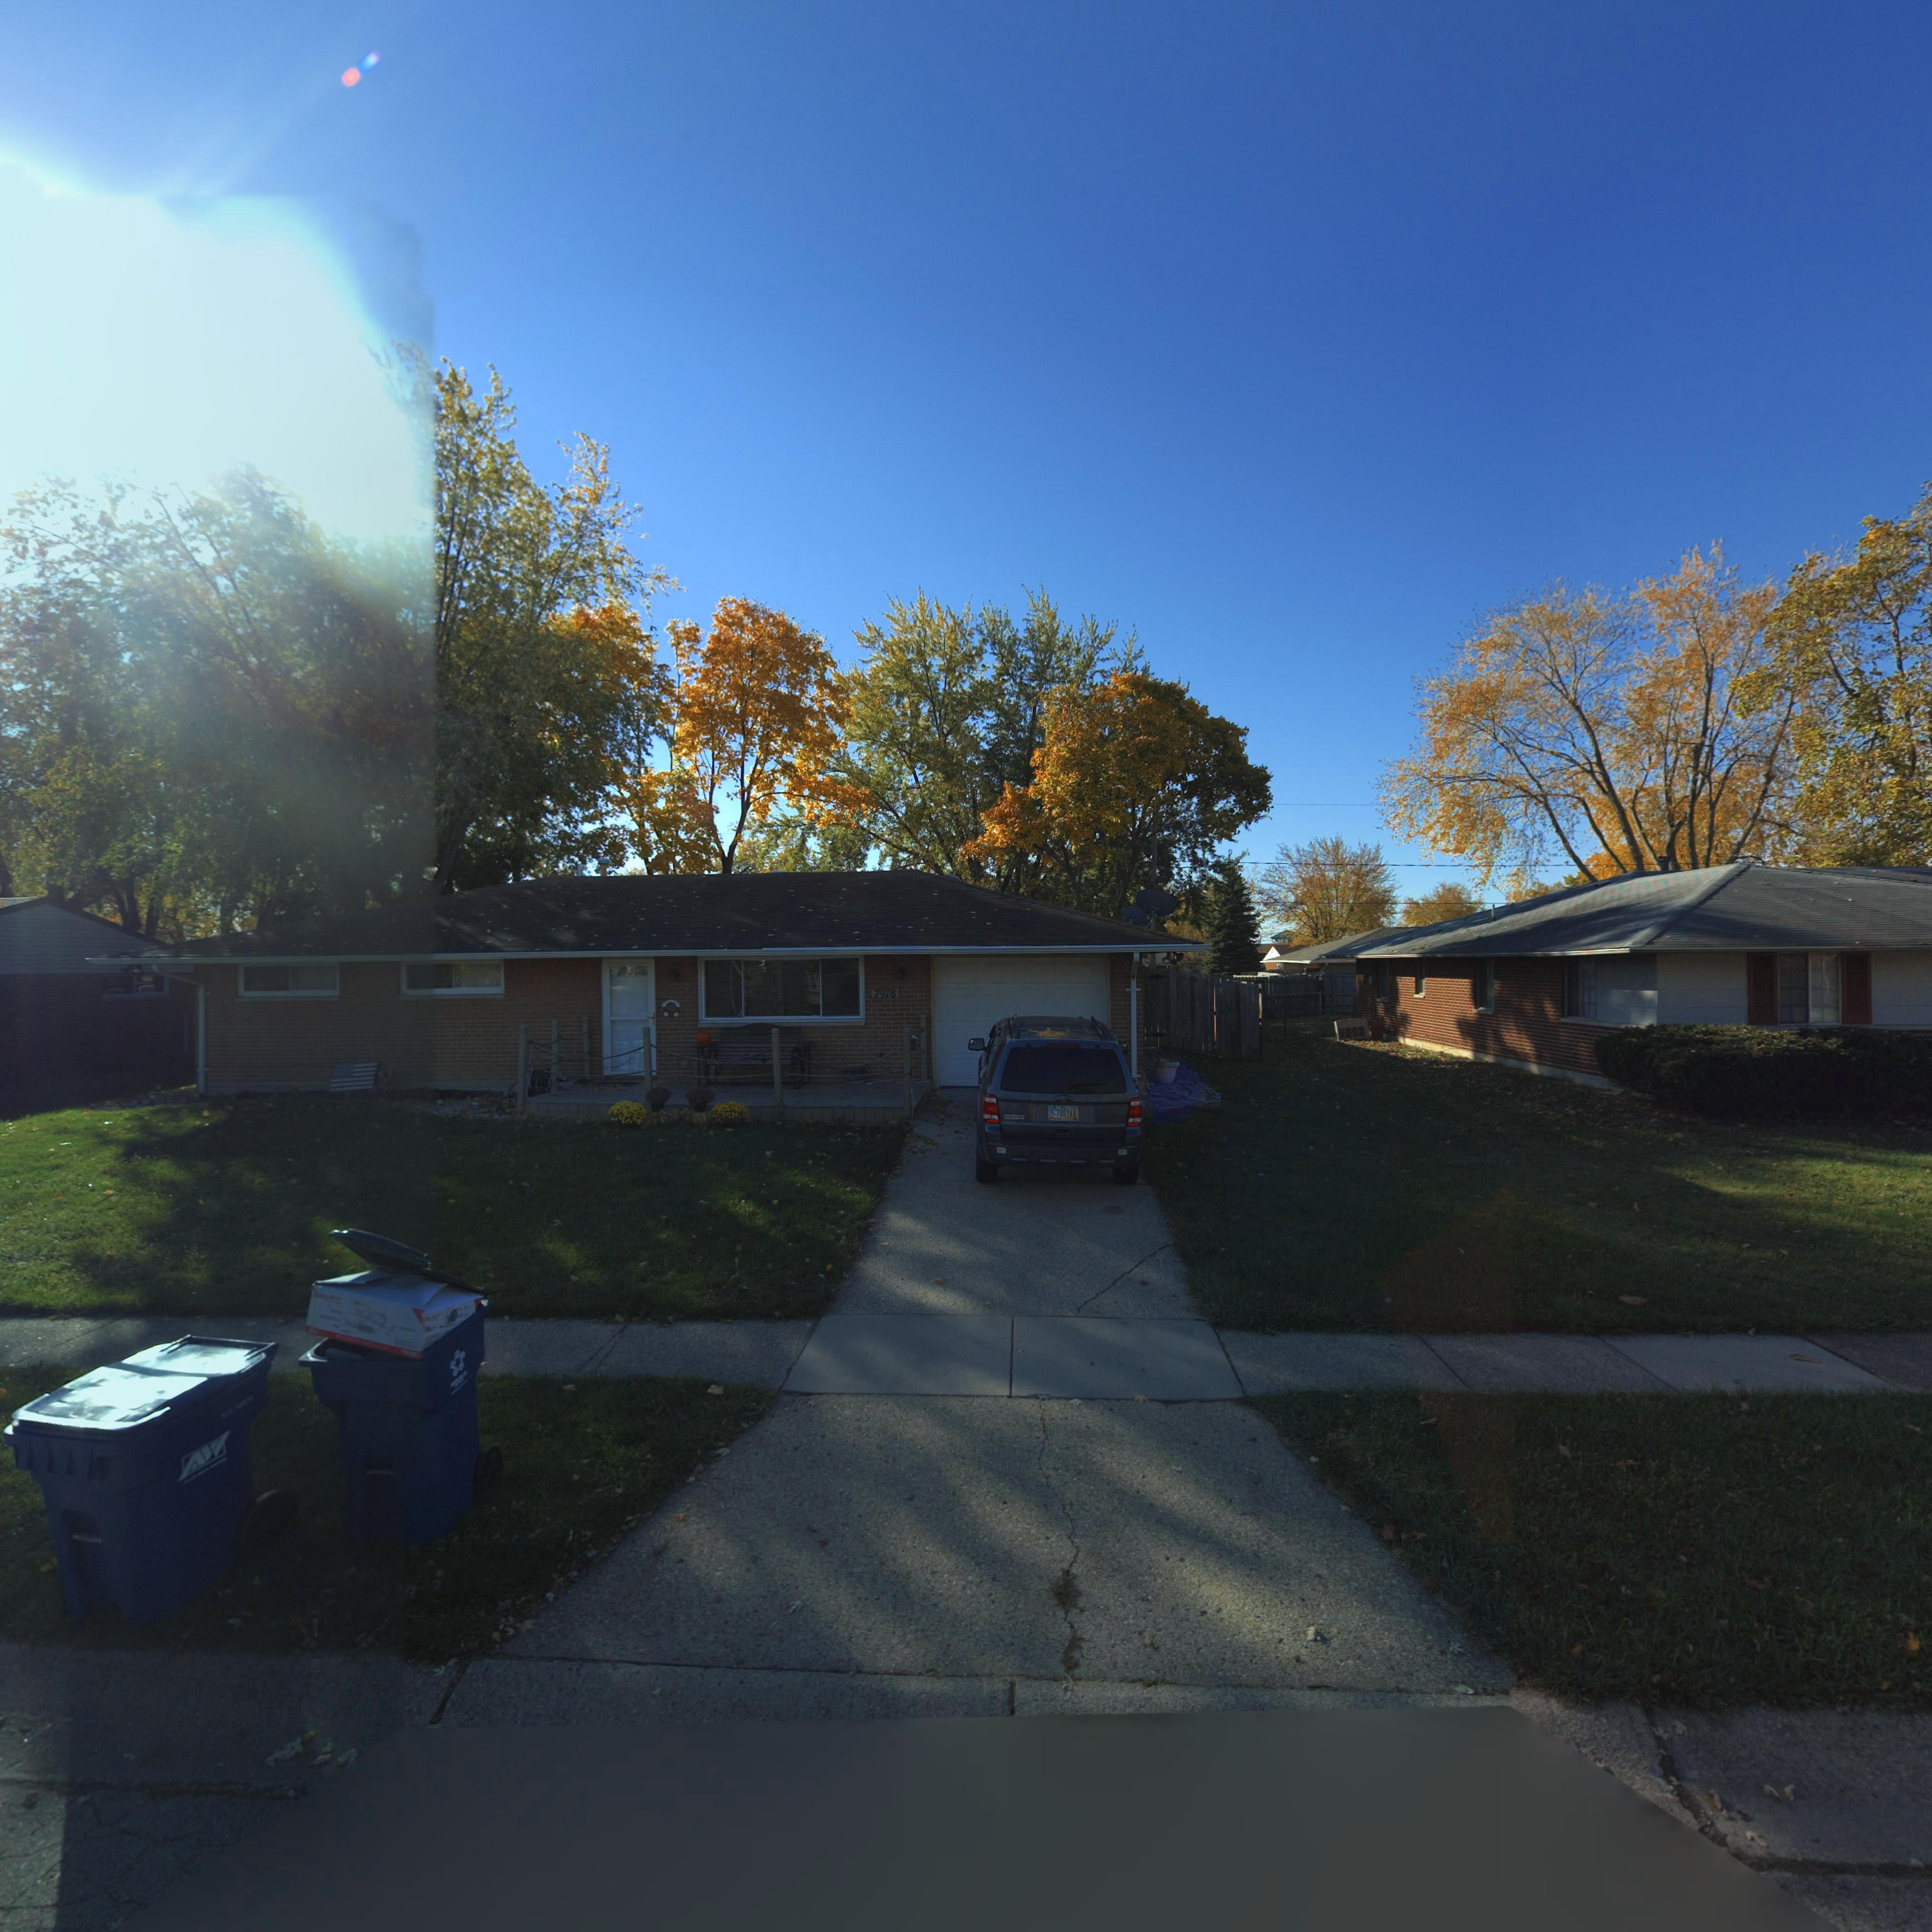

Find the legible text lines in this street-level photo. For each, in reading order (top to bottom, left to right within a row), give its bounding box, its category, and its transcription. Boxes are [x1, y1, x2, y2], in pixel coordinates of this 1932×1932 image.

[873, 988, 897, 999] StreetNumber: 7978